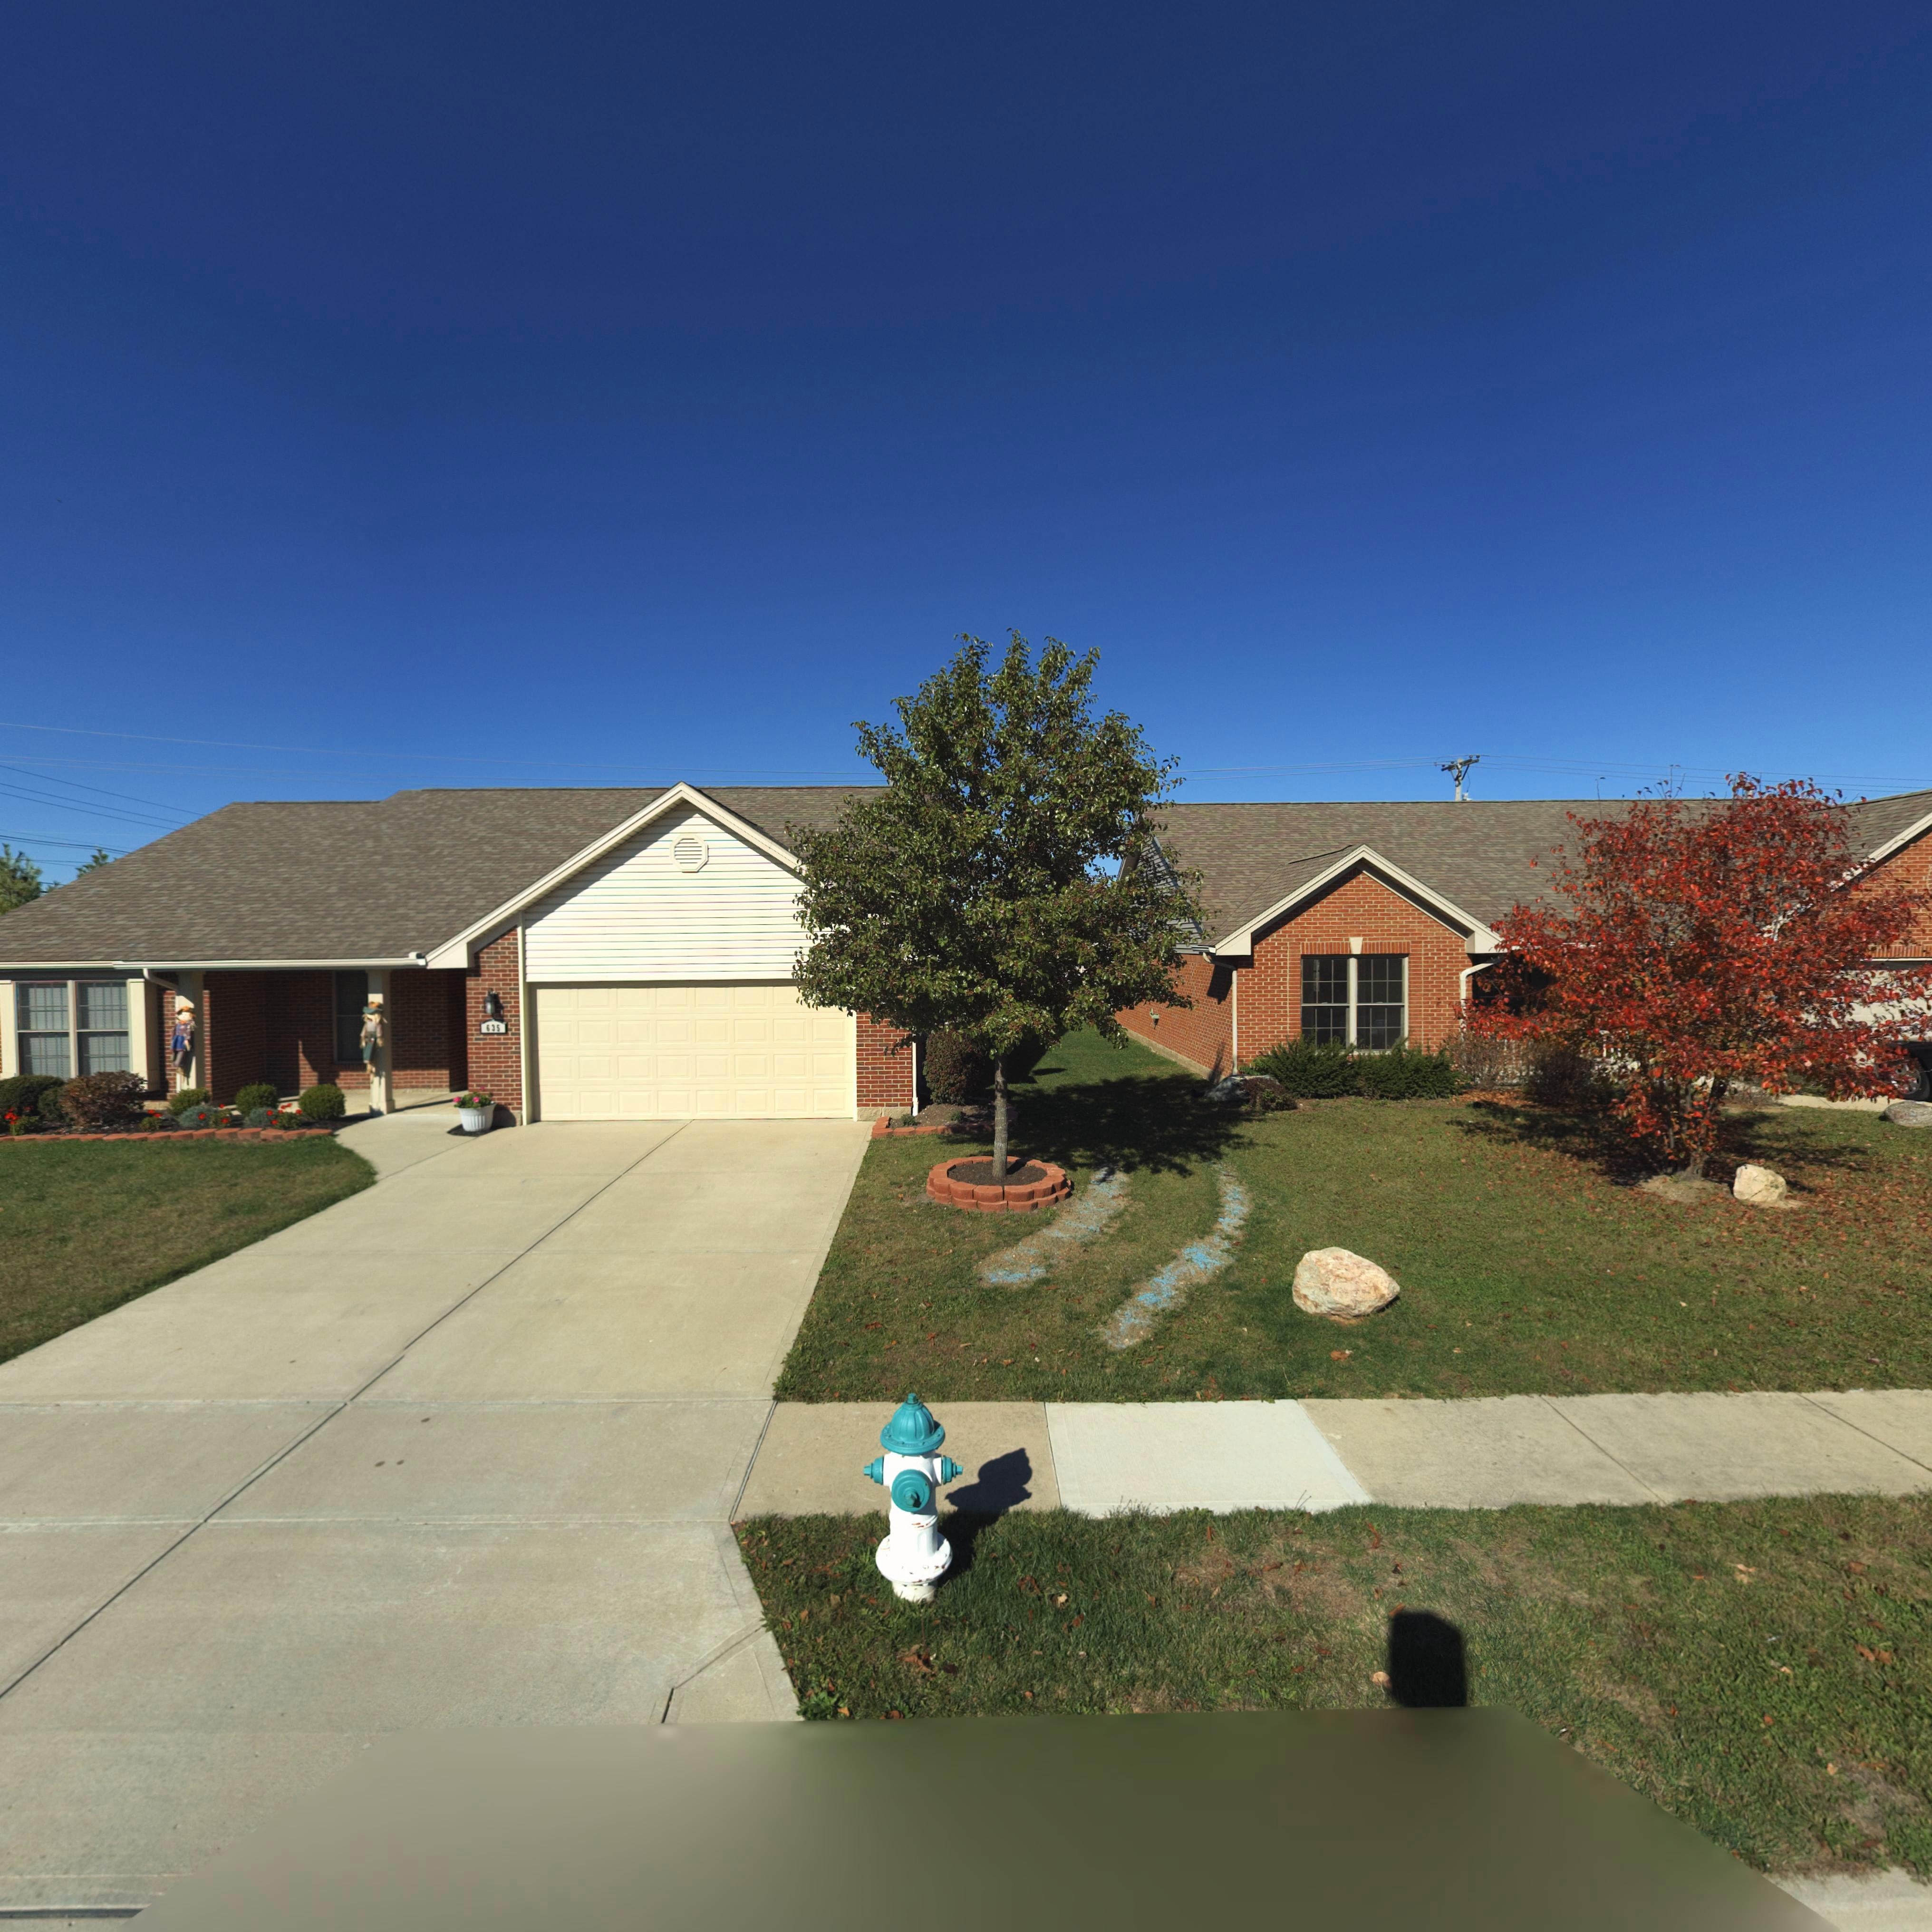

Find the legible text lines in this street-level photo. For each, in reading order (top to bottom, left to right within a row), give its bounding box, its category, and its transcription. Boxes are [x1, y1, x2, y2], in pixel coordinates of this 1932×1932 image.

[485, 1023, 502, 1033] StreetNumber: 635